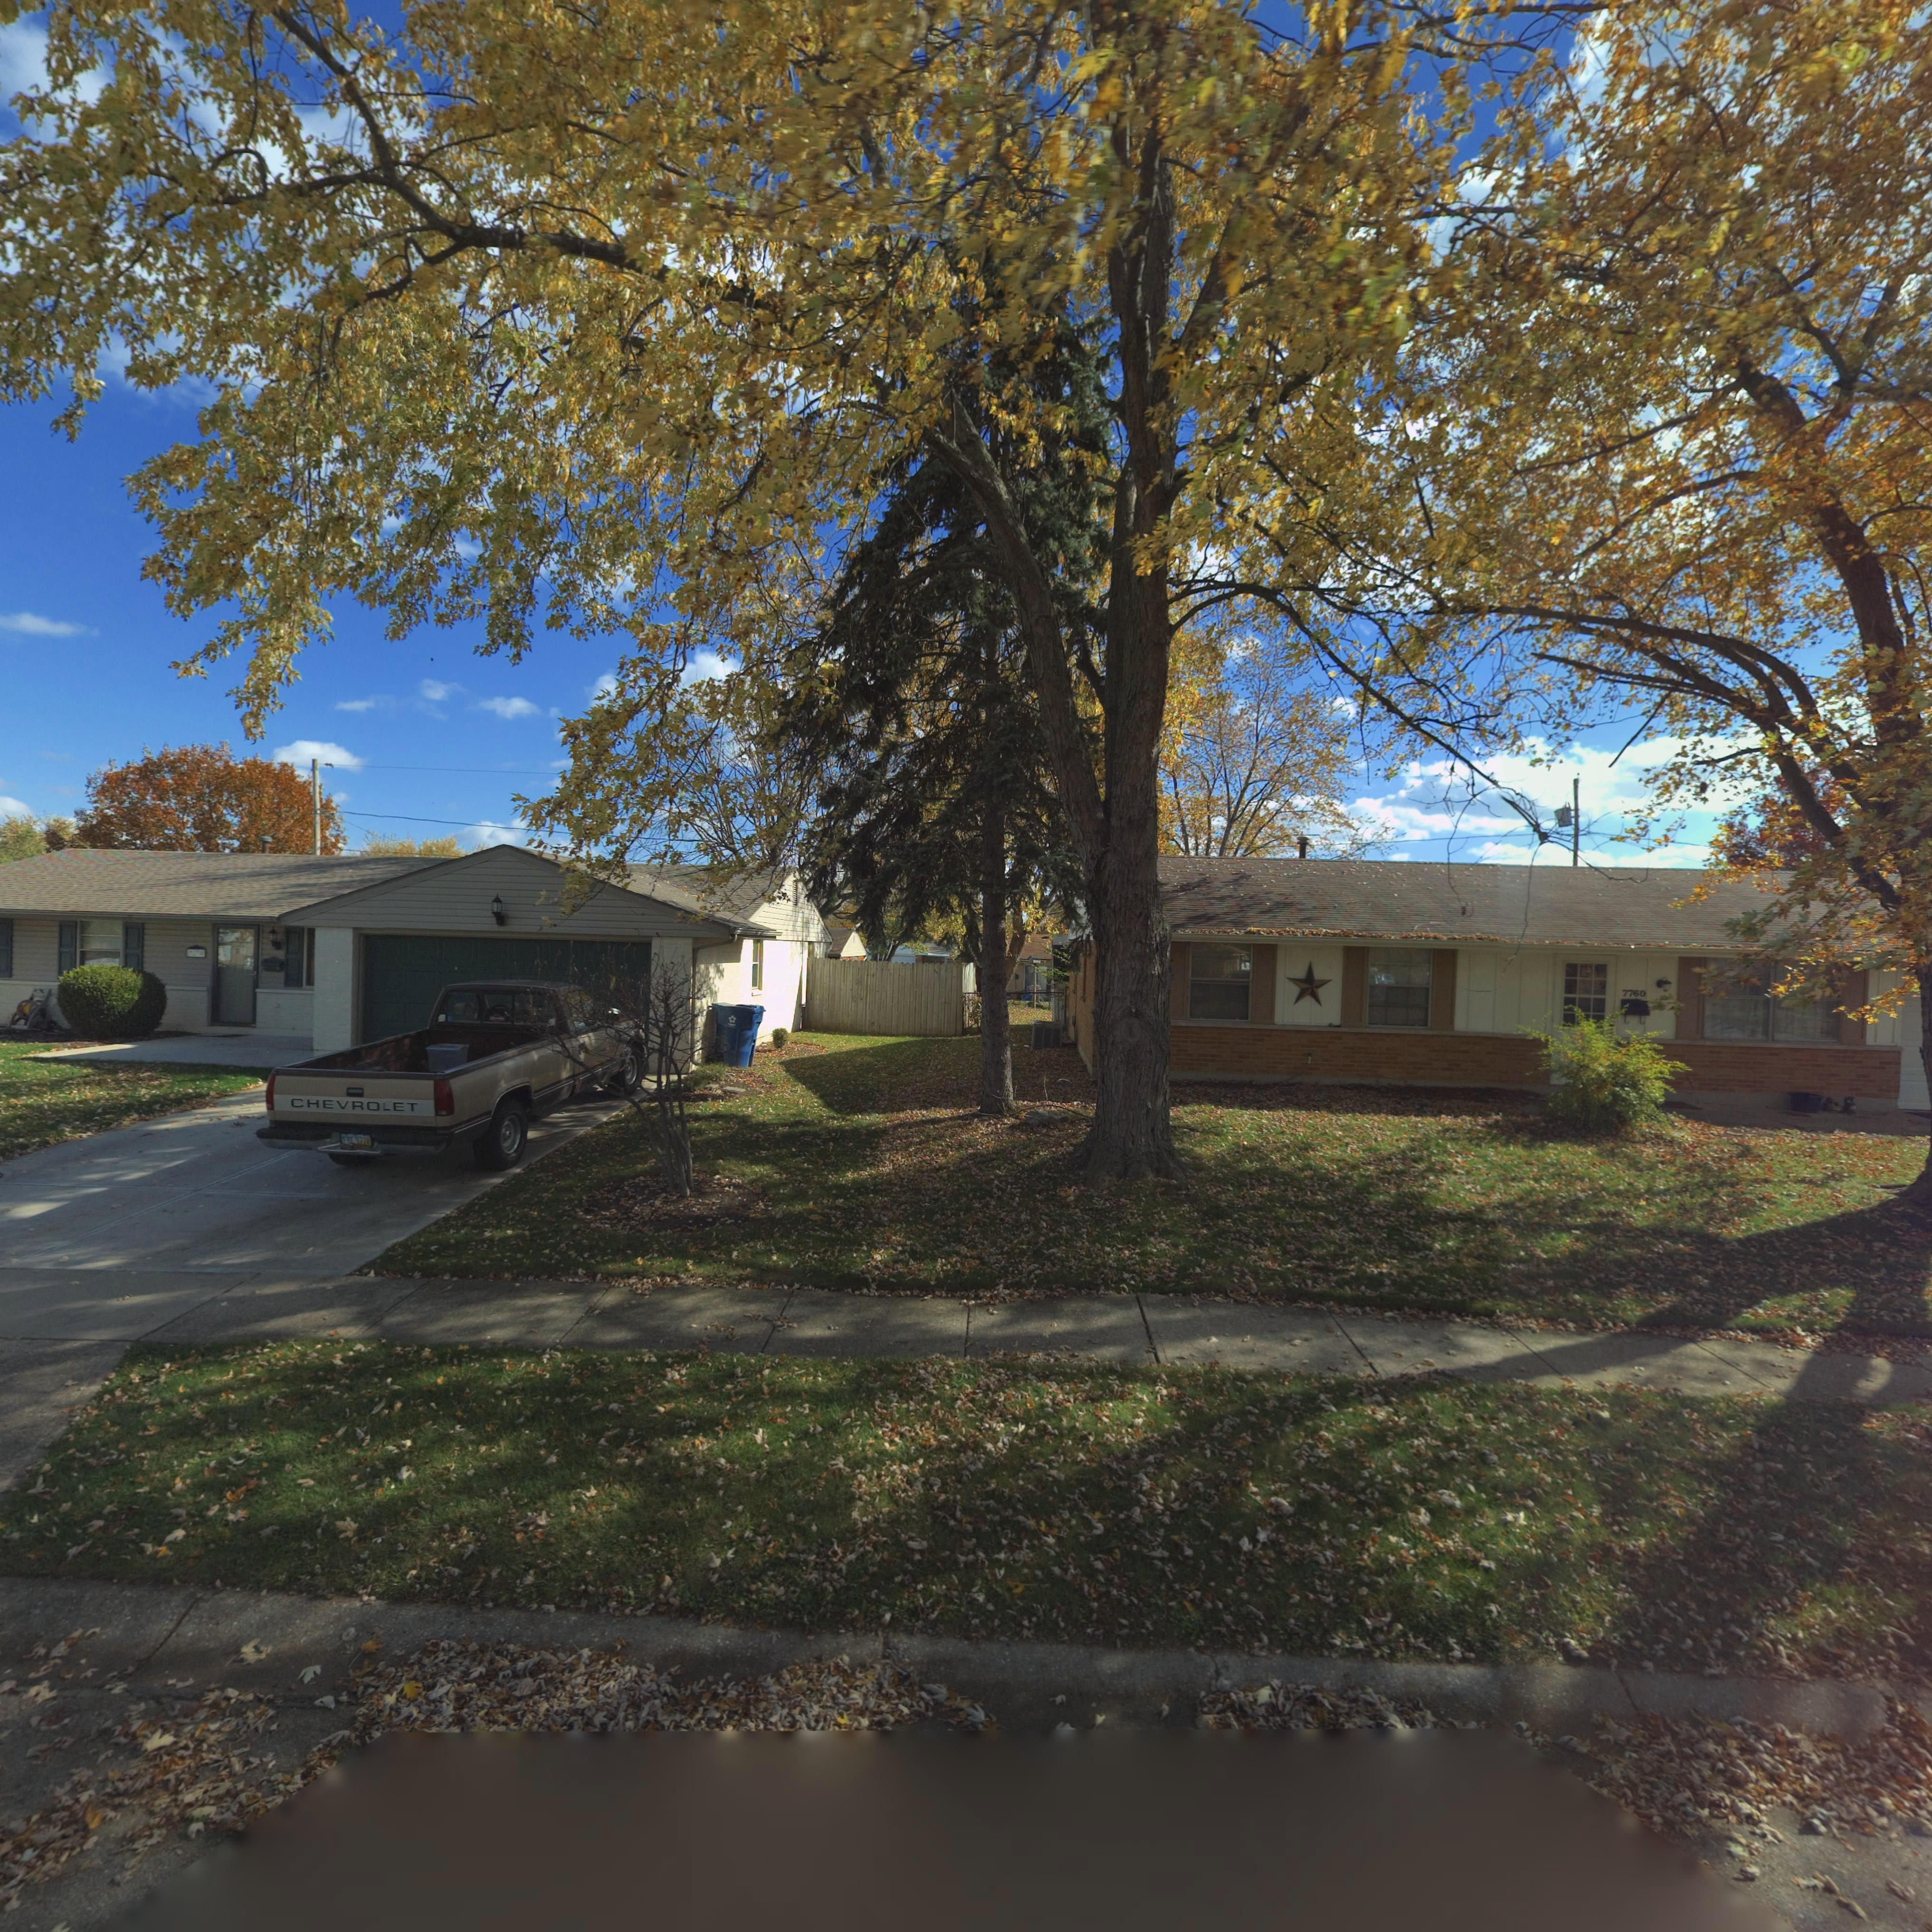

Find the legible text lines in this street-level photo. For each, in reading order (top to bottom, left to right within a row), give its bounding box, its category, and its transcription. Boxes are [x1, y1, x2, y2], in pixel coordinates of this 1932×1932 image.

[188, 949, 204, 957] StreetNumber: 77**
[1621, 989, 1647, 997] StreetNumber: 7760